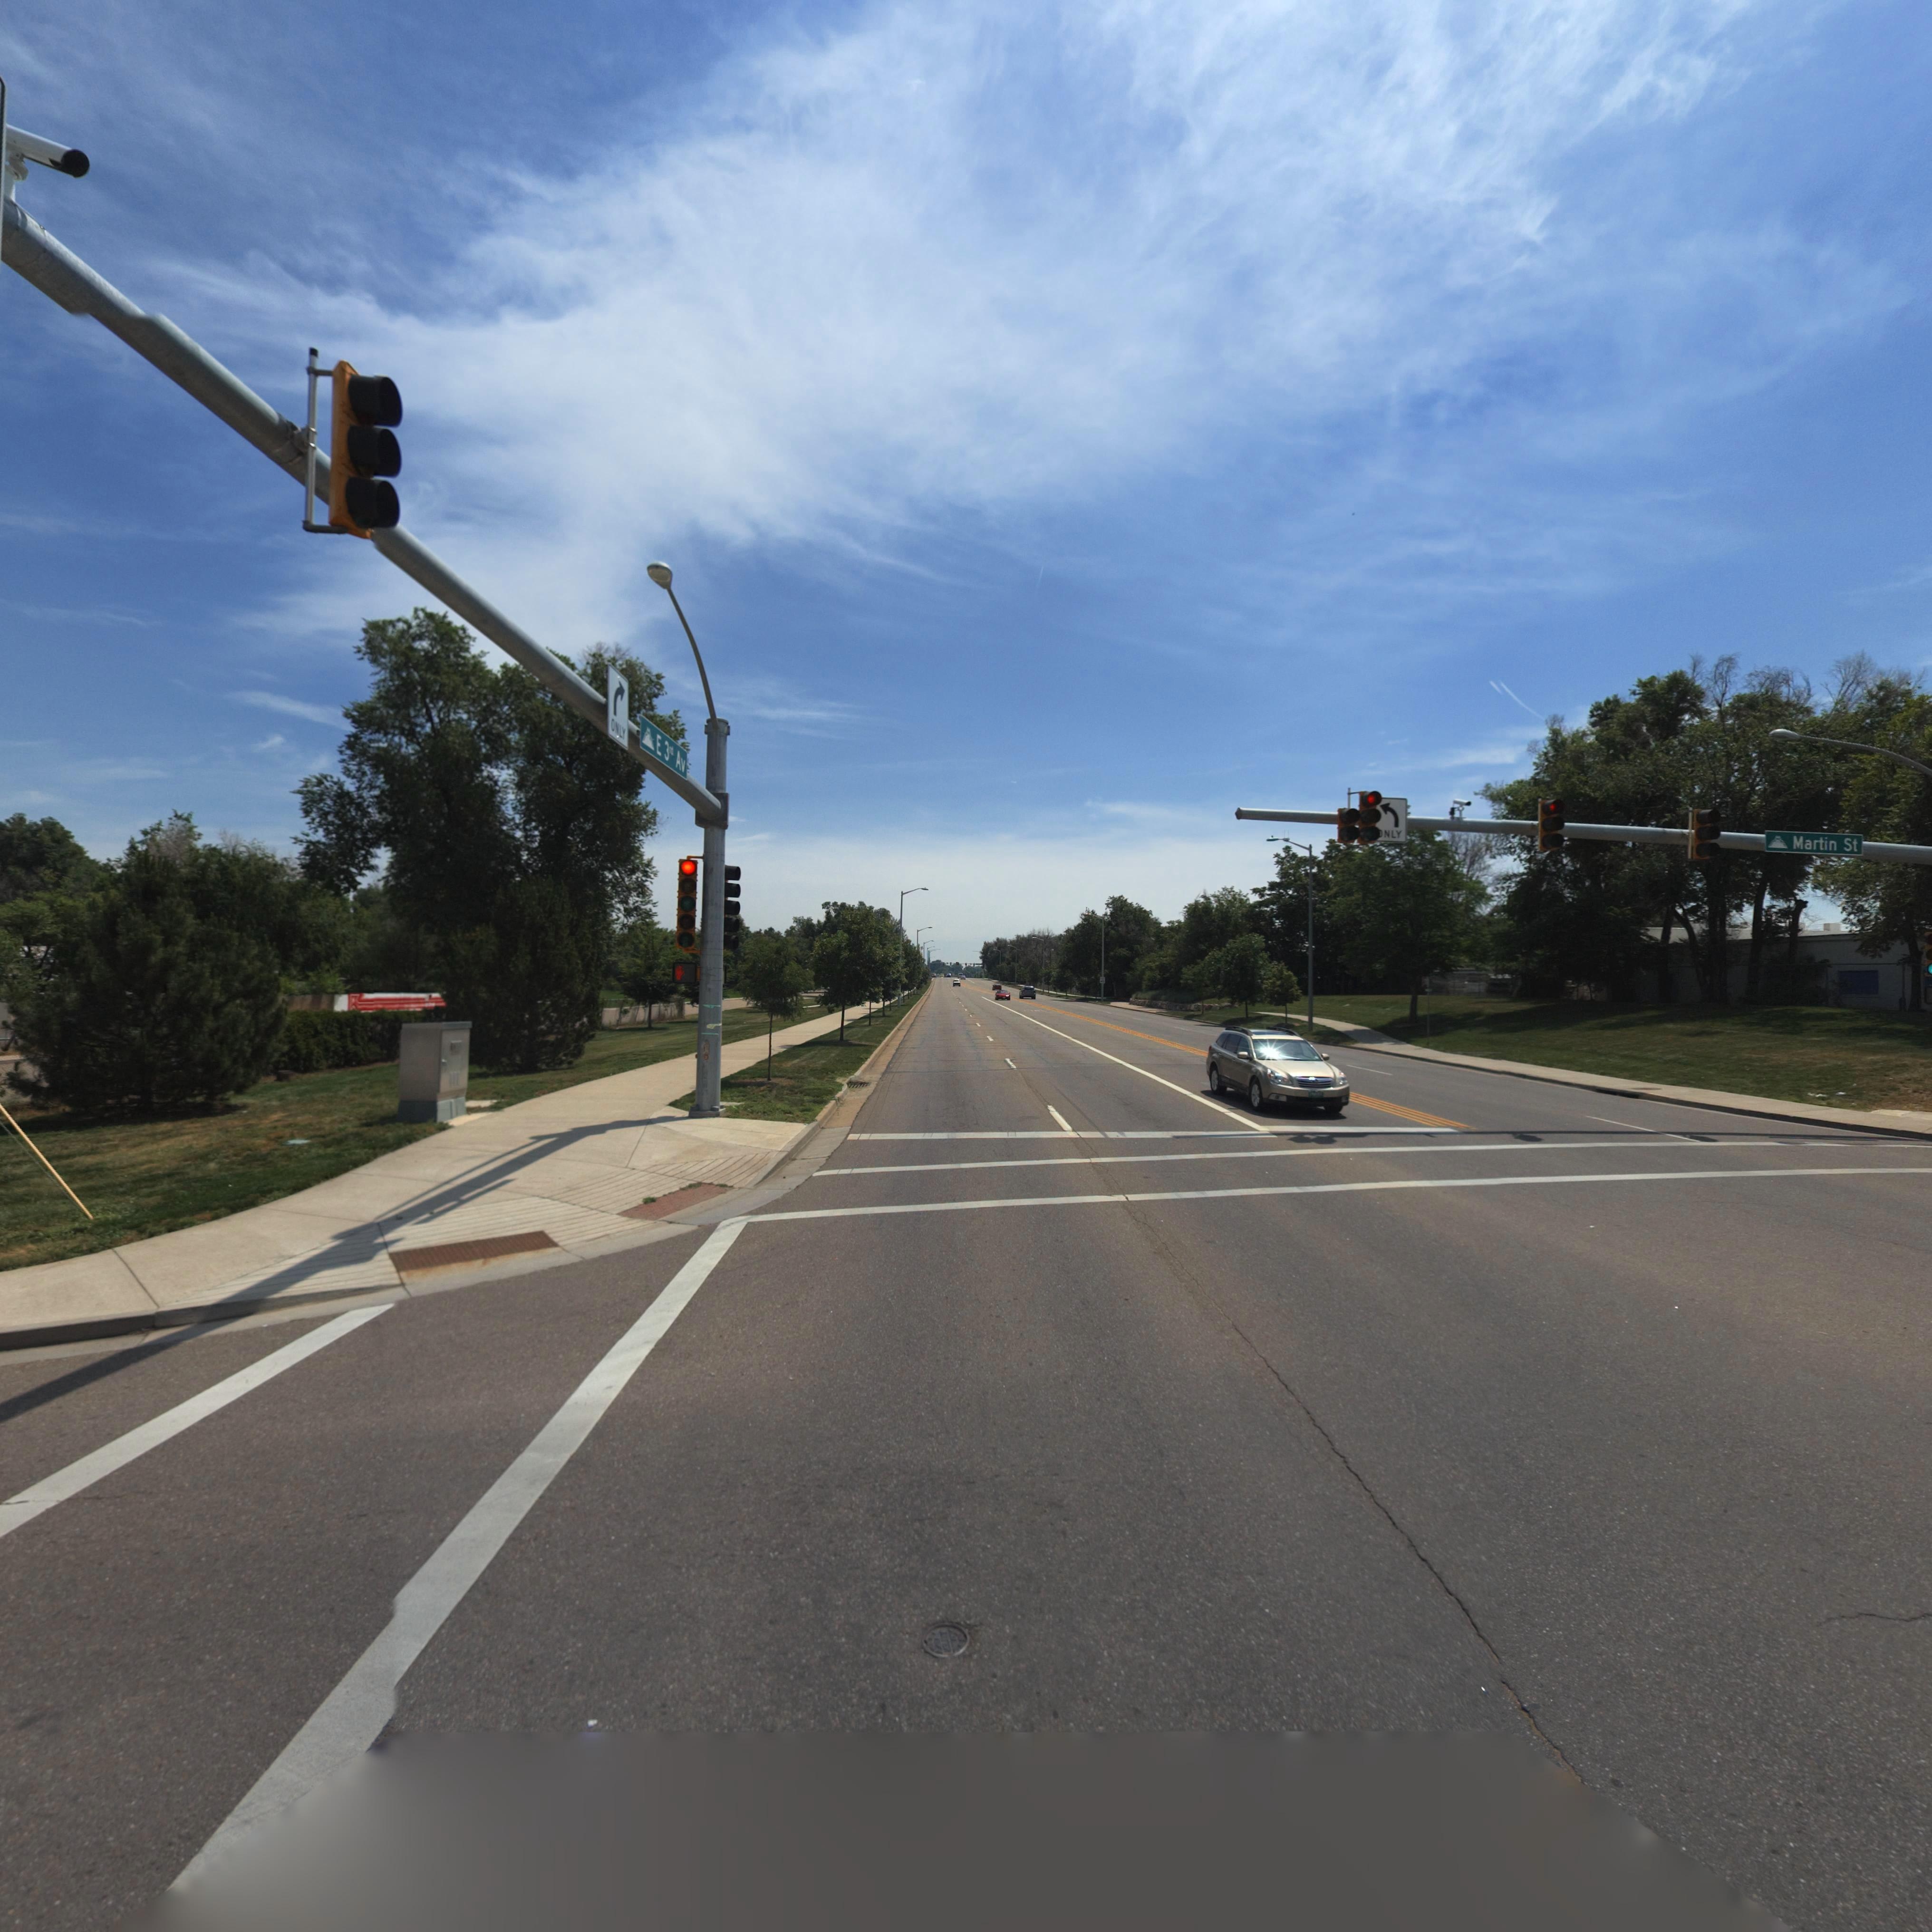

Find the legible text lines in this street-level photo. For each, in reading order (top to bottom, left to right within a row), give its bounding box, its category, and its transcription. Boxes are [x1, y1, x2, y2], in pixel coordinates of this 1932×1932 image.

[656, 733, 686, 773] StreetName: E 3rd Av
[1793, 835, 1858, 852] StreetName: Martin St